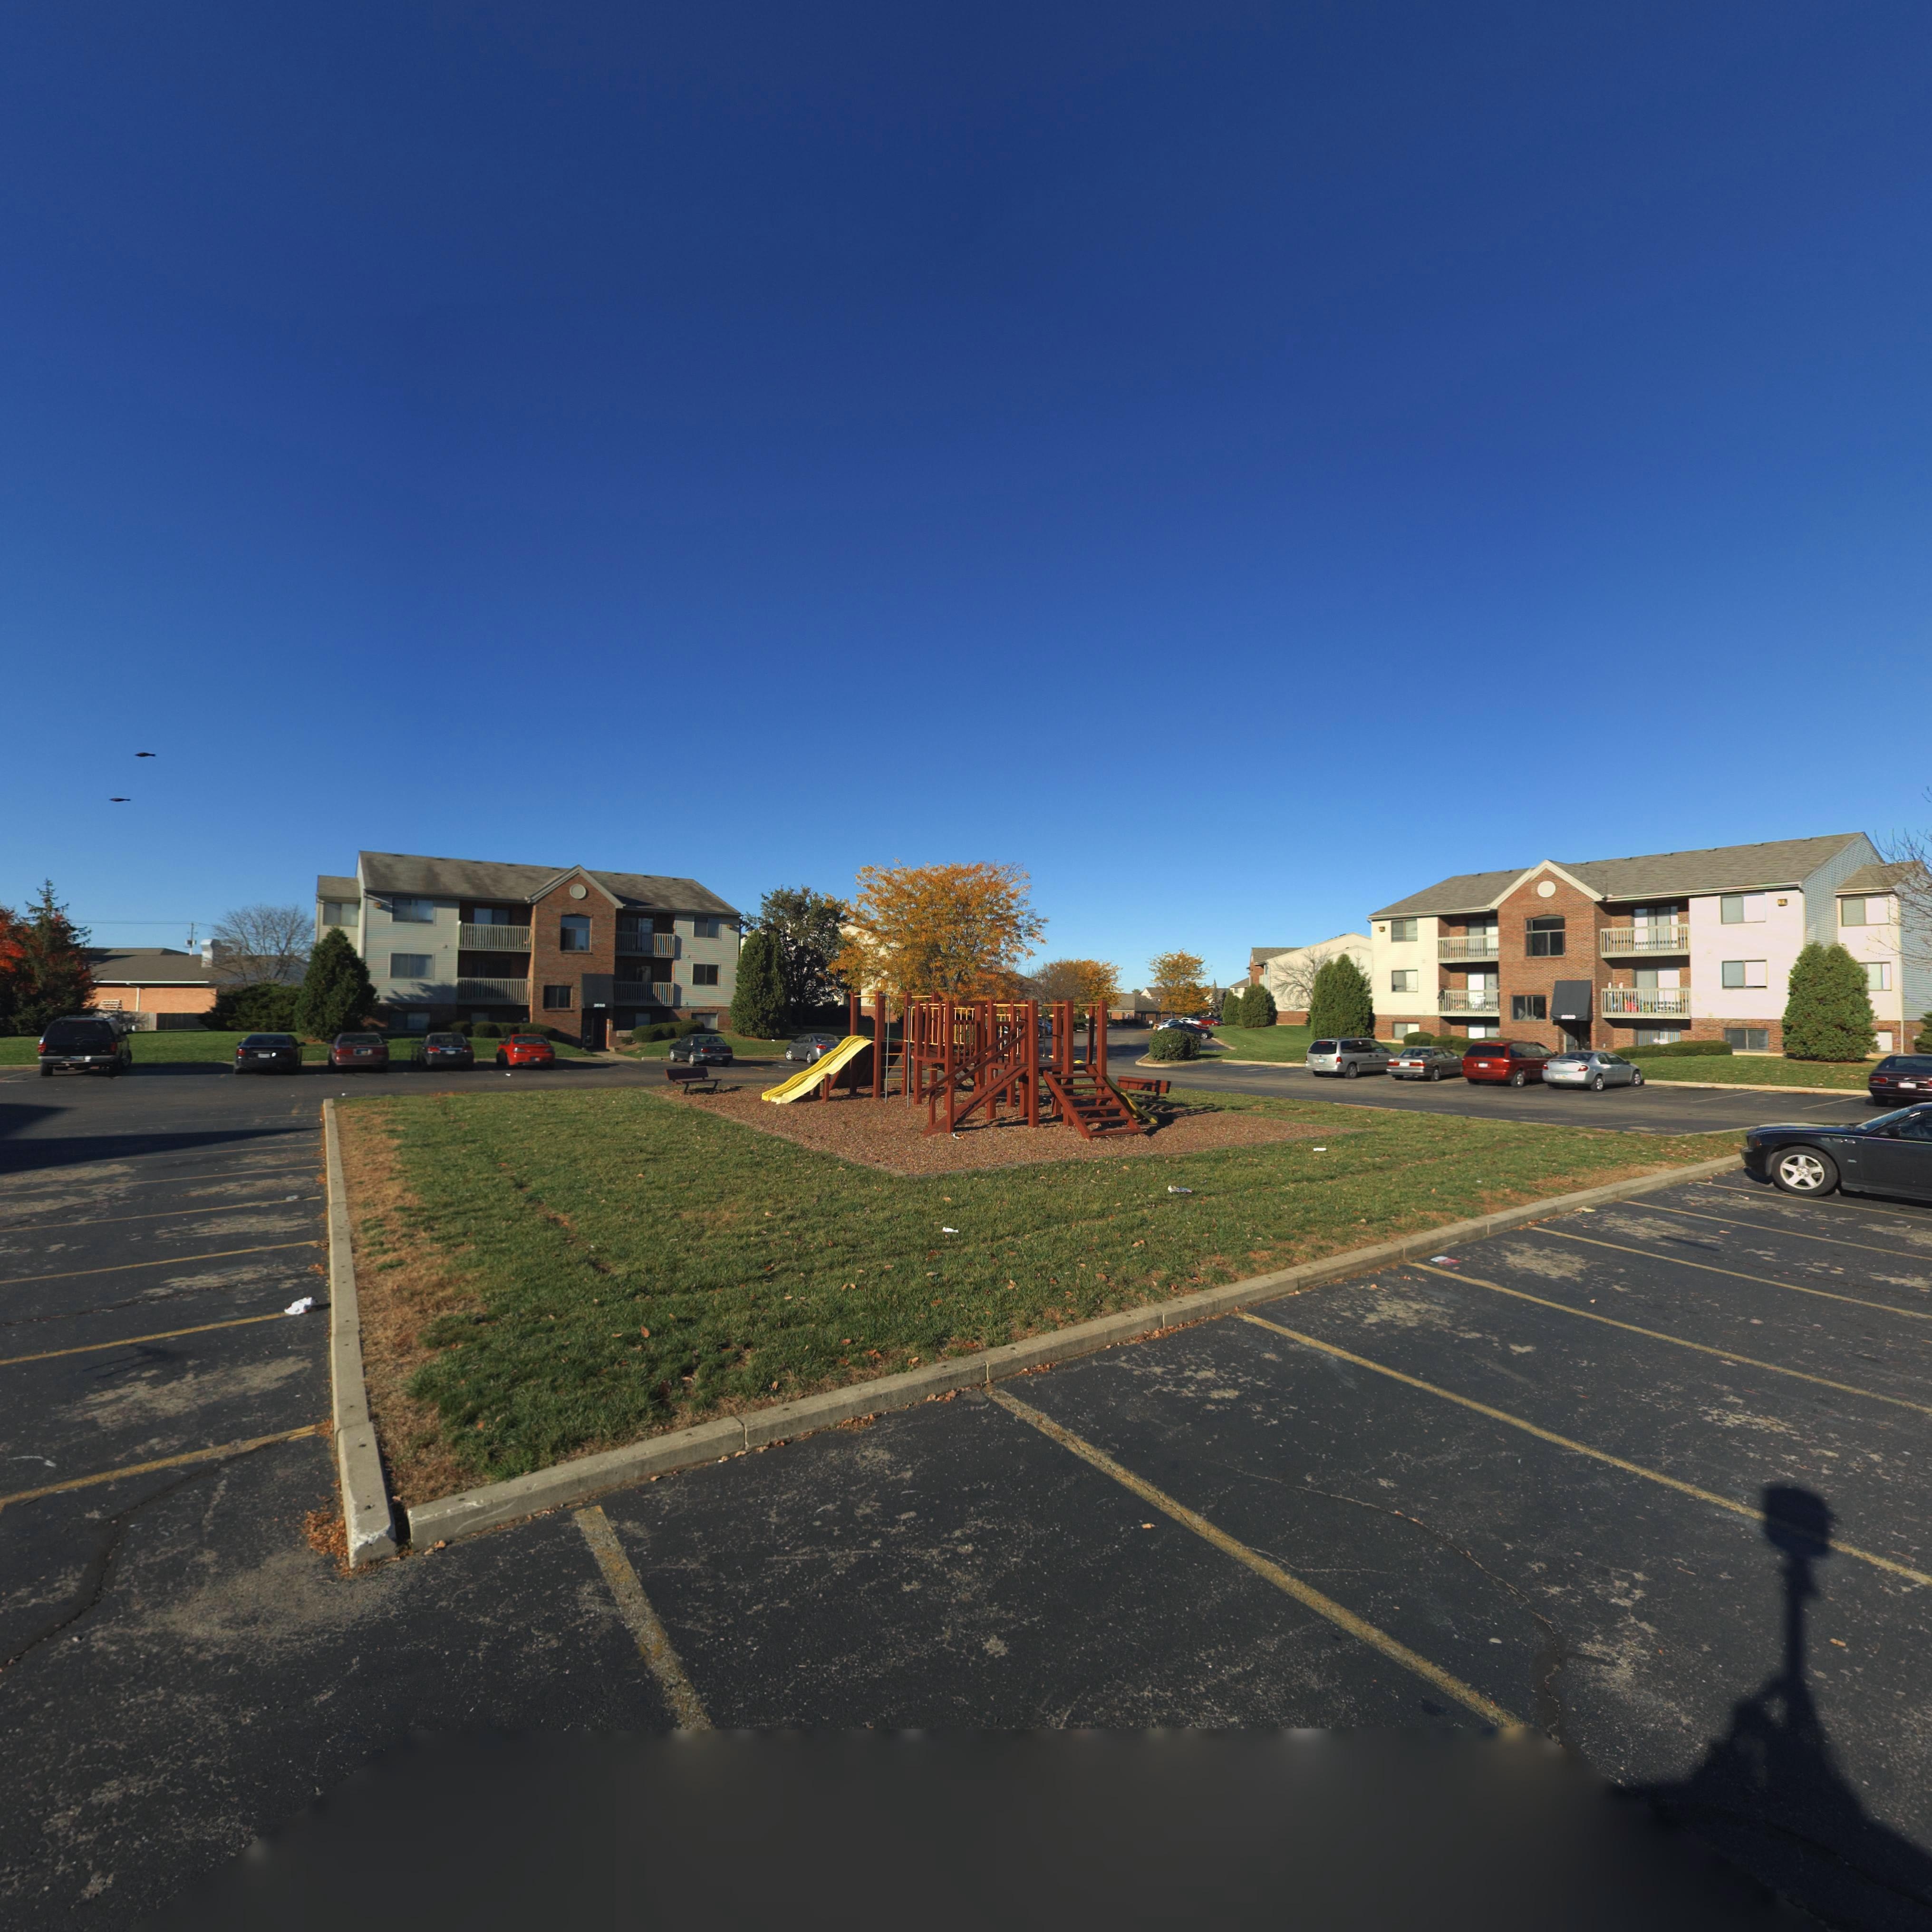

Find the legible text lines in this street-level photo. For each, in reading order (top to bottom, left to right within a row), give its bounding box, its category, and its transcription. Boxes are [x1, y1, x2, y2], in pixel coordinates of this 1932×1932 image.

[593, 1003, 606, 1008] StreetNumber: 2***